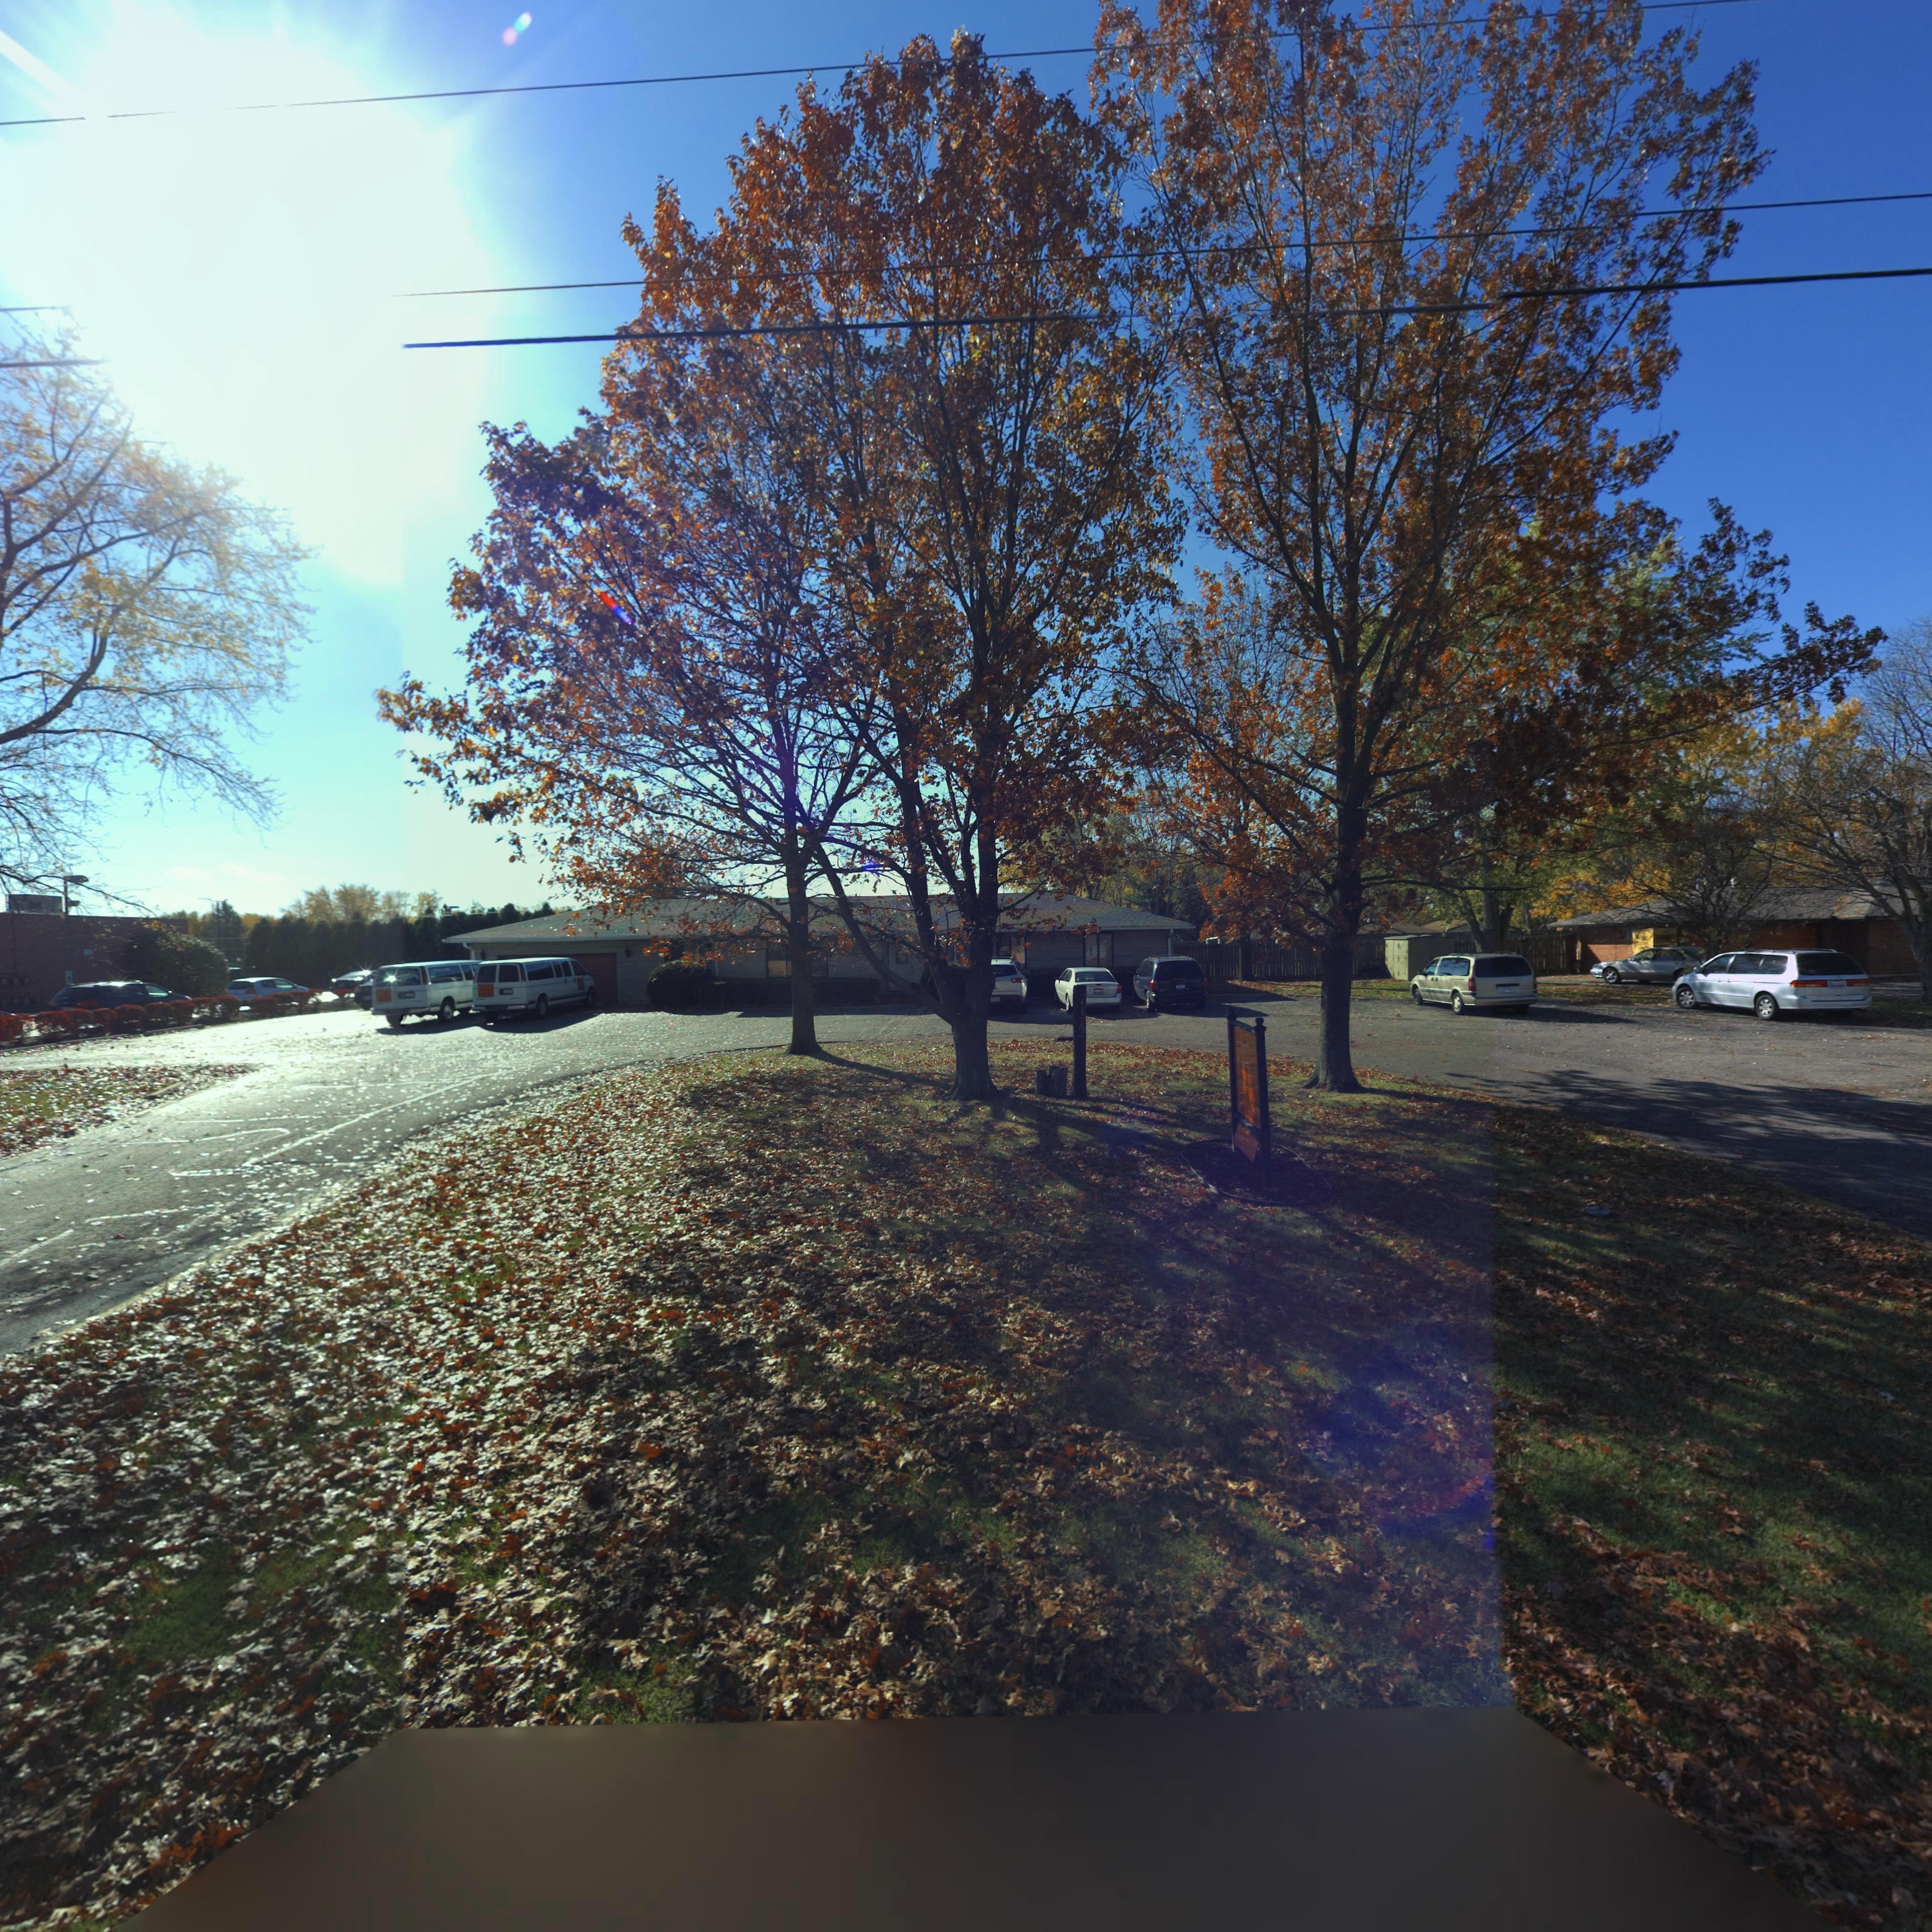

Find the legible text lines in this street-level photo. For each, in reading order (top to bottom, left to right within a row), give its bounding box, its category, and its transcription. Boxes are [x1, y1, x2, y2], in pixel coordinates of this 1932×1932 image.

[1077, 993, 1086, 1038] StreetNumber: 7172